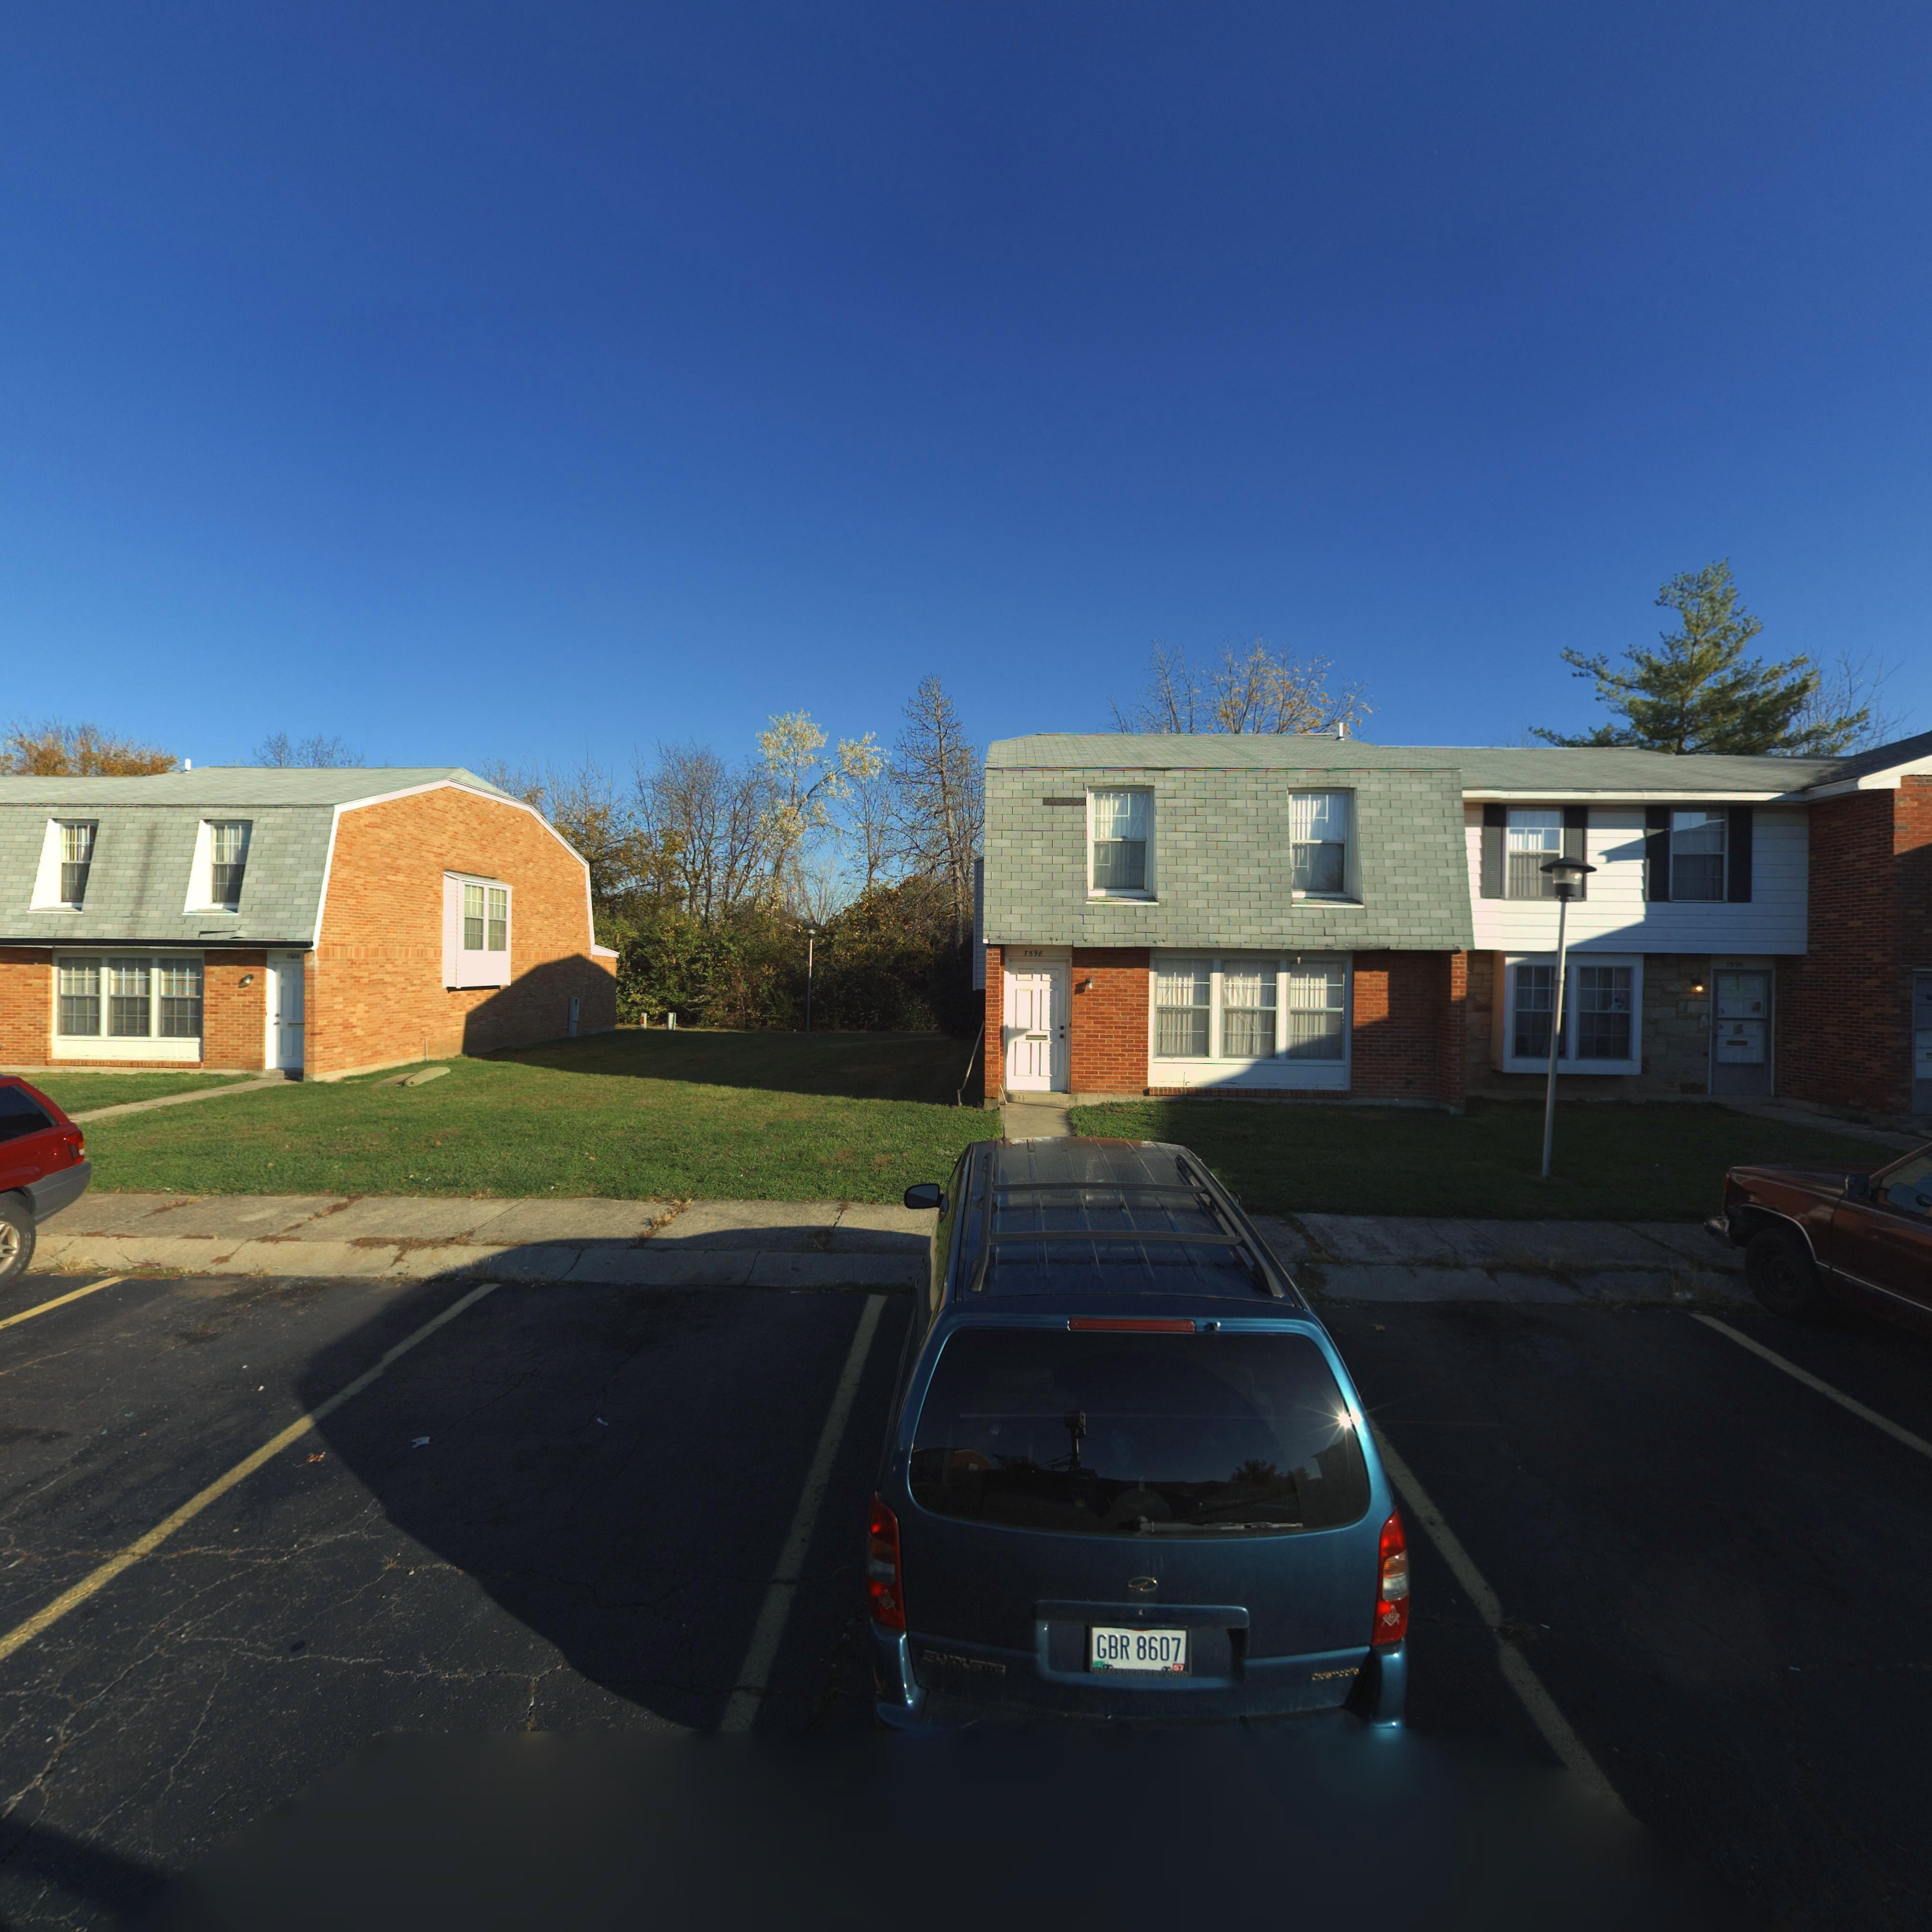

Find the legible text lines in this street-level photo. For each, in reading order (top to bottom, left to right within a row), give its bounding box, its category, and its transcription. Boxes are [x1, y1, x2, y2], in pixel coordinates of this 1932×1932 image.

[285, 952, 302, 961] StreetNumber: 7600
[1022, 948, 1045, 958] StreetNumber: 7598